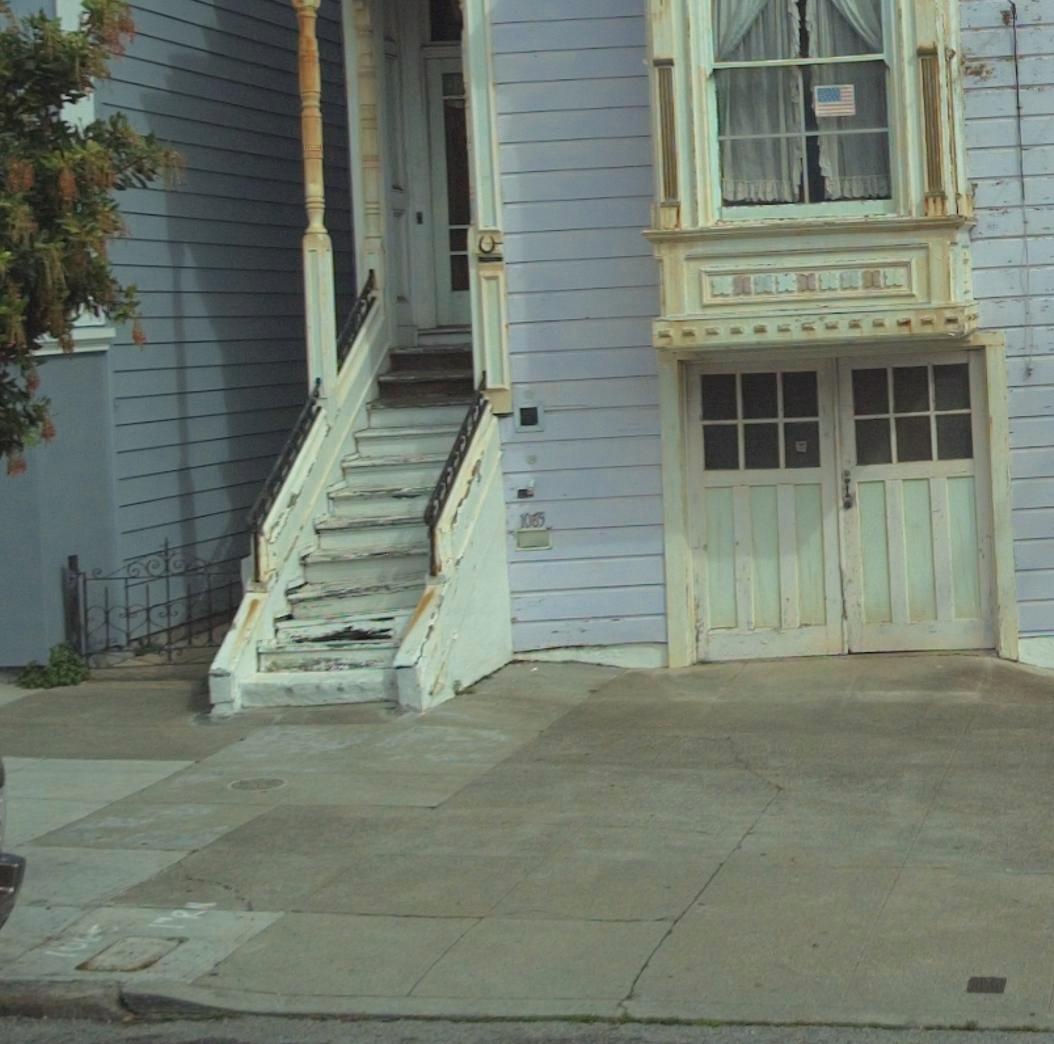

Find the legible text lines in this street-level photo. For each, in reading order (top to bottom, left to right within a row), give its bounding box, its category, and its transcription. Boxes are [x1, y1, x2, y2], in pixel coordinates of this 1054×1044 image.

[518, 511, 546, 530] StreetNumber: 1069